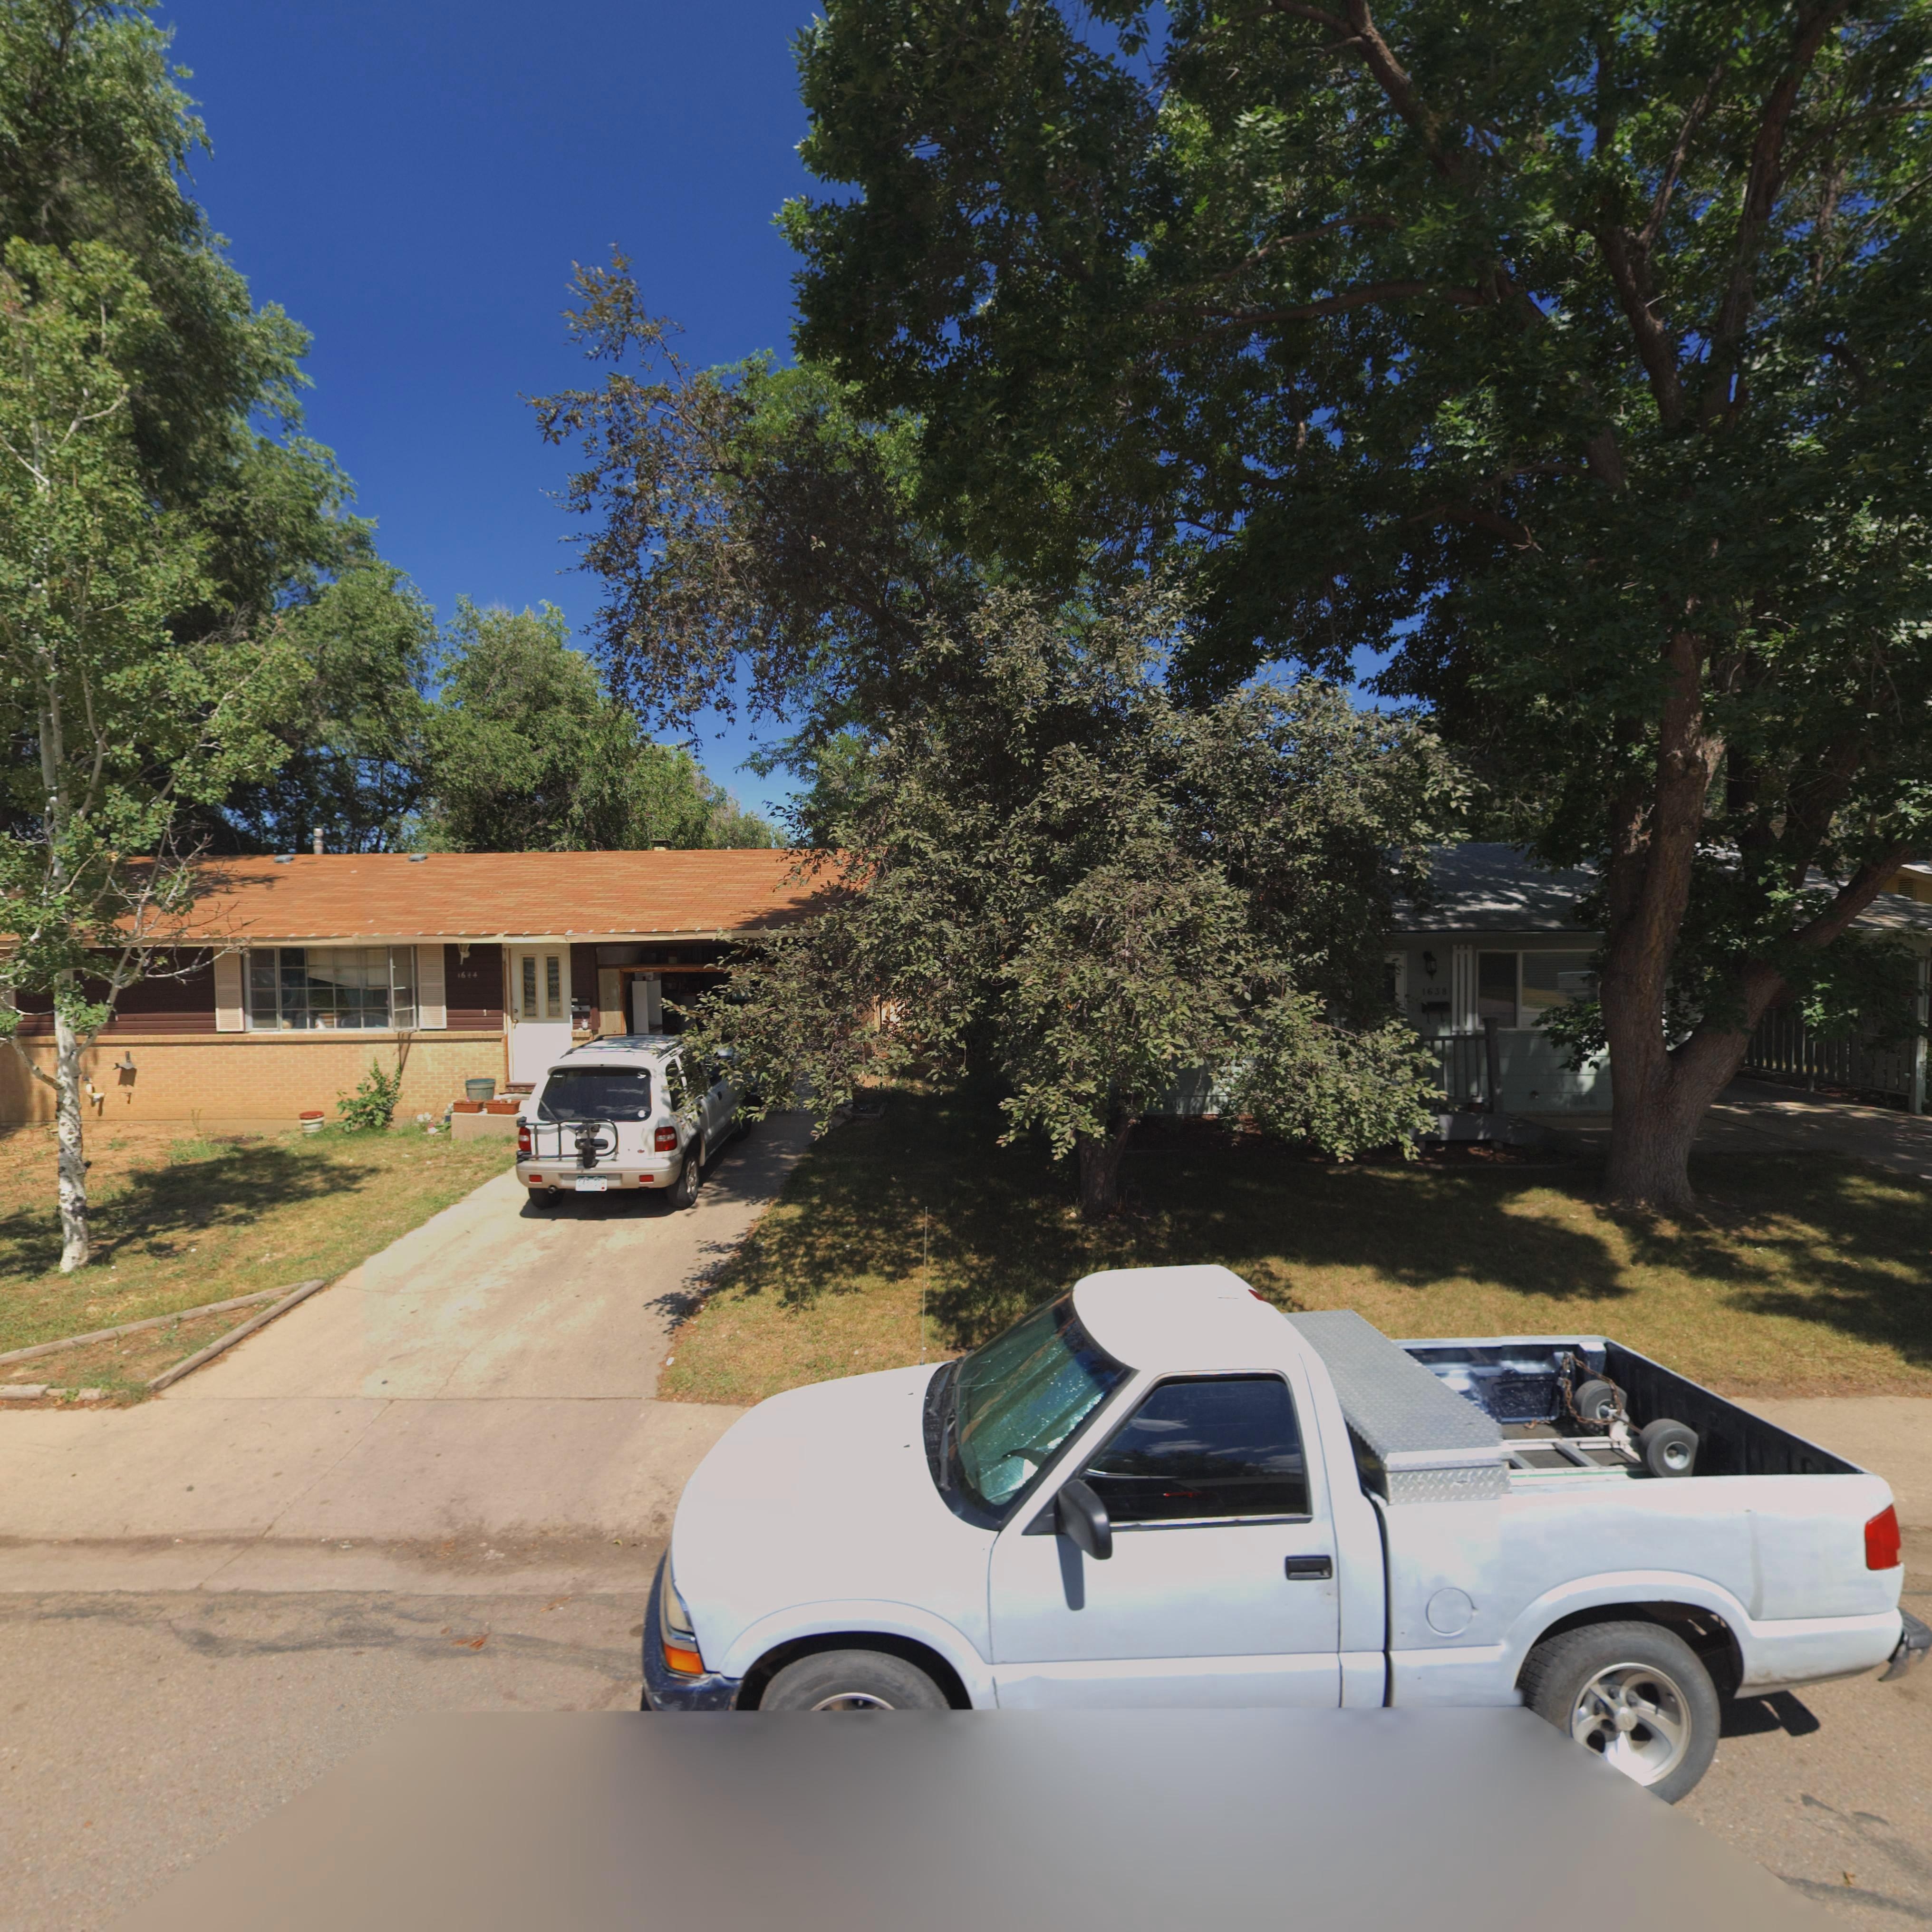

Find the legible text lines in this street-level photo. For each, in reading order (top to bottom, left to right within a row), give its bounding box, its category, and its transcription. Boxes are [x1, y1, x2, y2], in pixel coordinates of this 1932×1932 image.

[457, 970, 478, 978] StreetNumber: 1644
[1422, 987, 1447, 995] StreetNumber: 1638